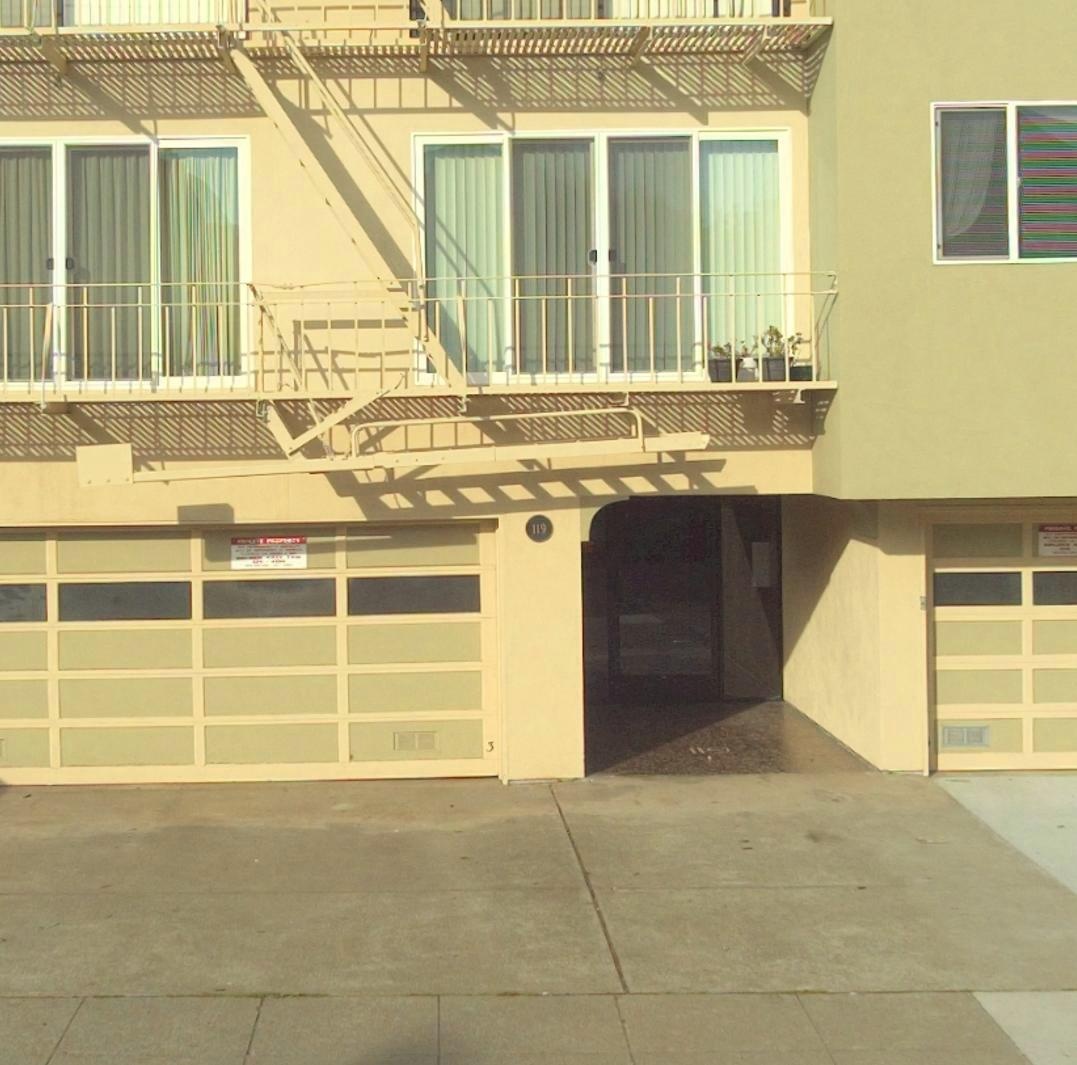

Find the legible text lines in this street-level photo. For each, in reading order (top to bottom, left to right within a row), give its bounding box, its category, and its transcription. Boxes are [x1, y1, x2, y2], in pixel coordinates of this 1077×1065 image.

[530, 521, 549, 537] StreetNumber: 119